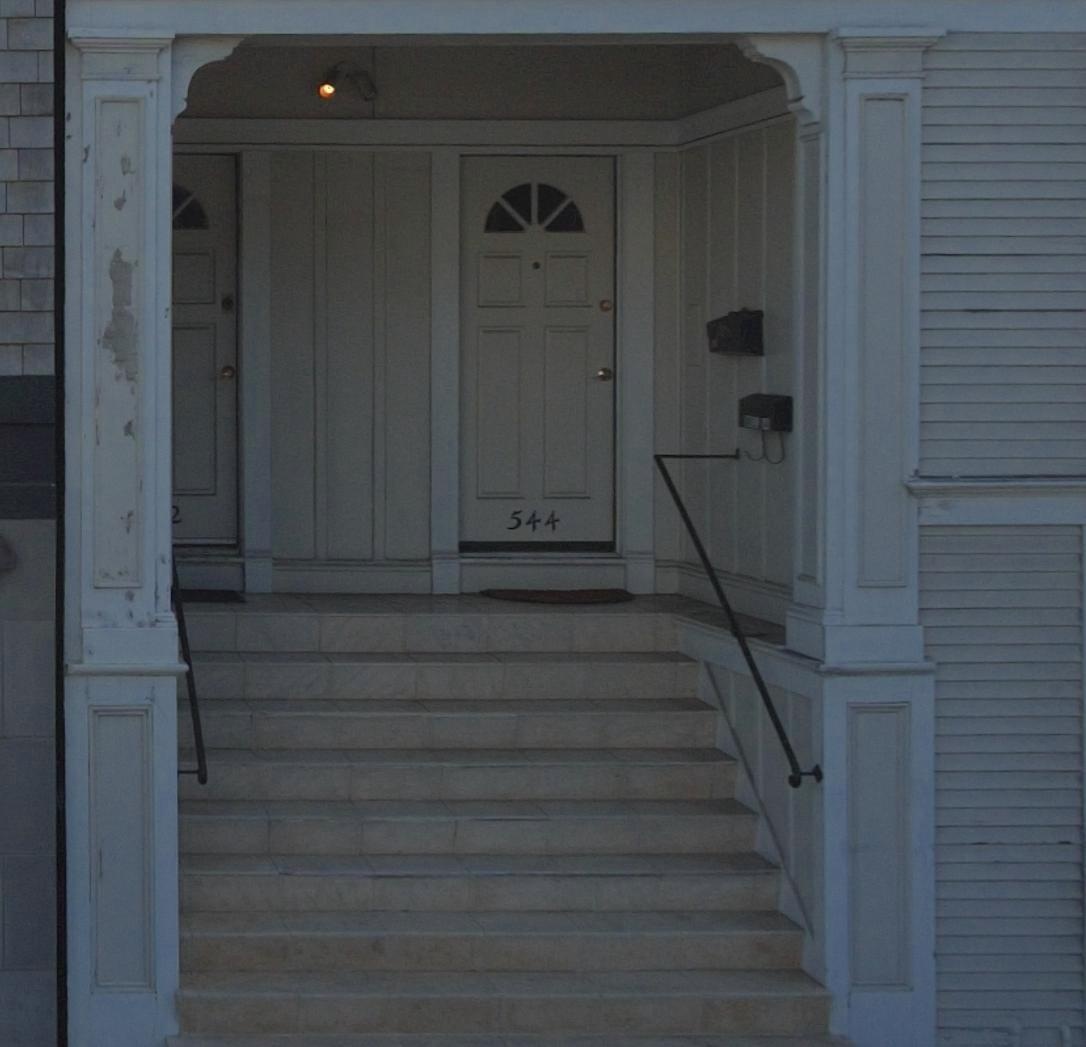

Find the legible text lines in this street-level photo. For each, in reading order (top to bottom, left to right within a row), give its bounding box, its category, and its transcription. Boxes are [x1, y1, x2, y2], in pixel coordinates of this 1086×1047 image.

[504, 507, 562, 534] StreetNumber: 544